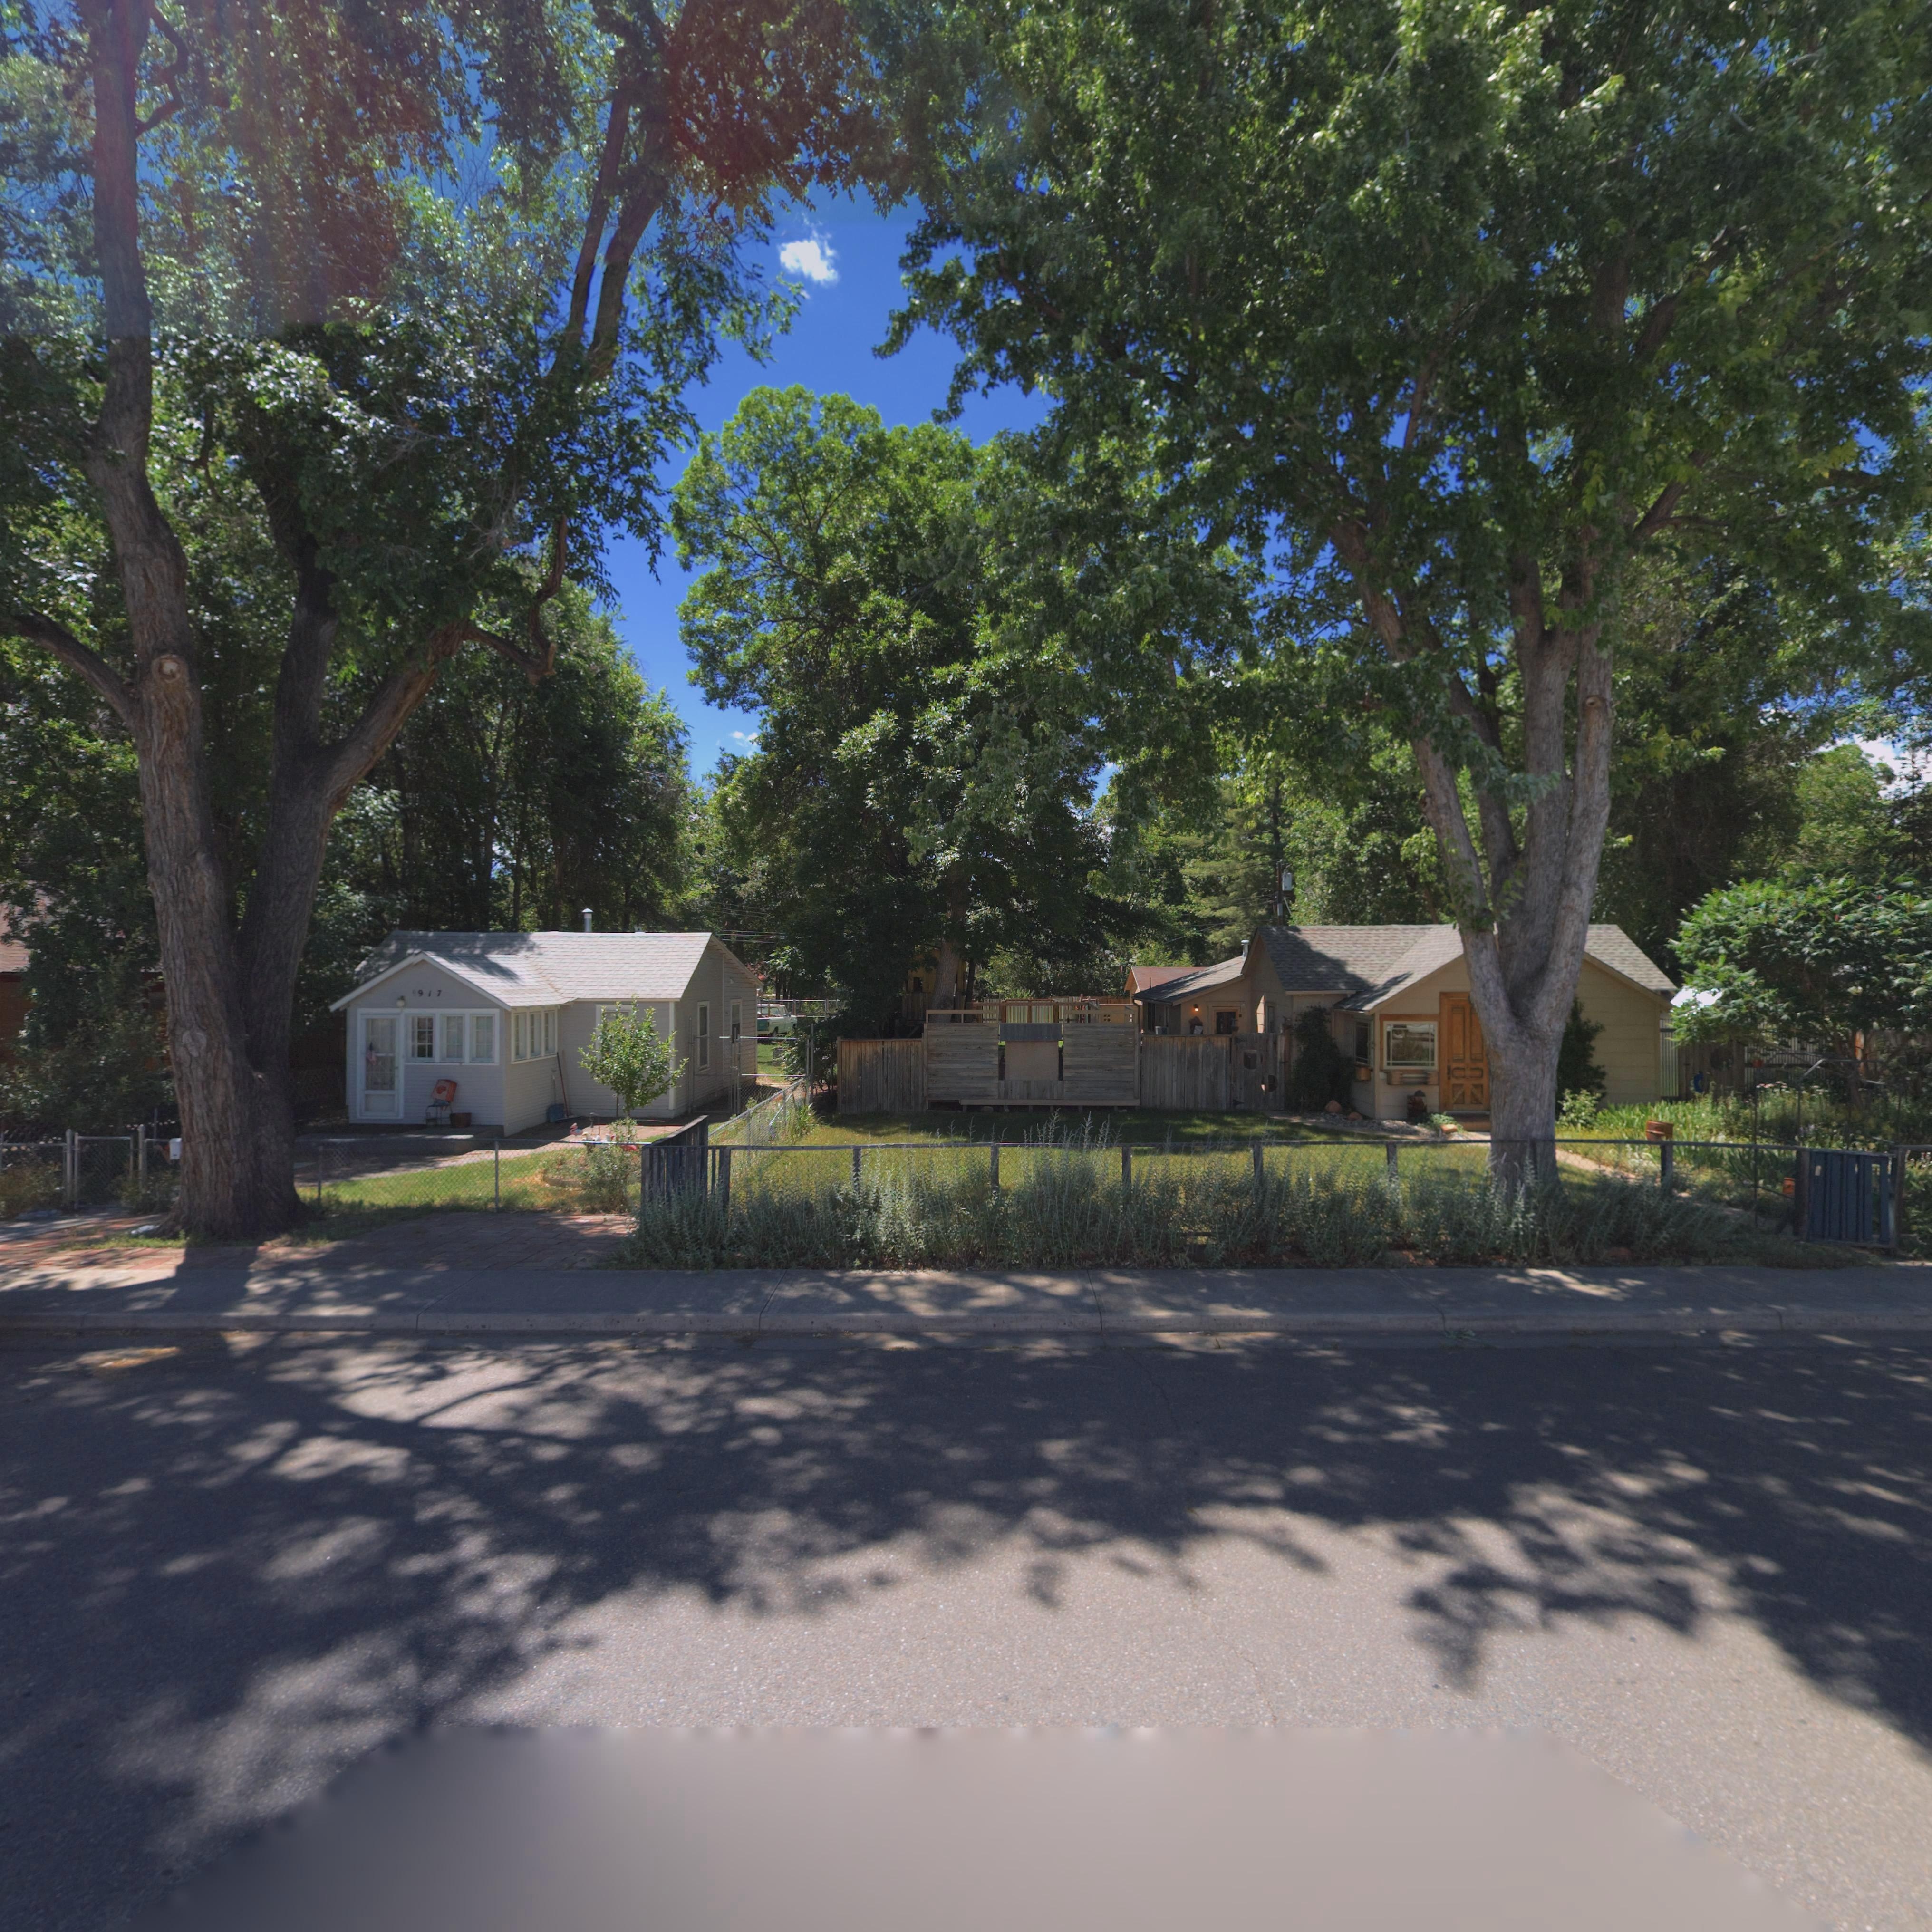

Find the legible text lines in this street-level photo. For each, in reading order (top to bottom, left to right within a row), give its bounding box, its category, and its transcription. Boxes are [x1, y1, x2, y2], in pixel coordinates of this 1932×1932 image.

[417, 989, 443, 997] StreetNumber: 917